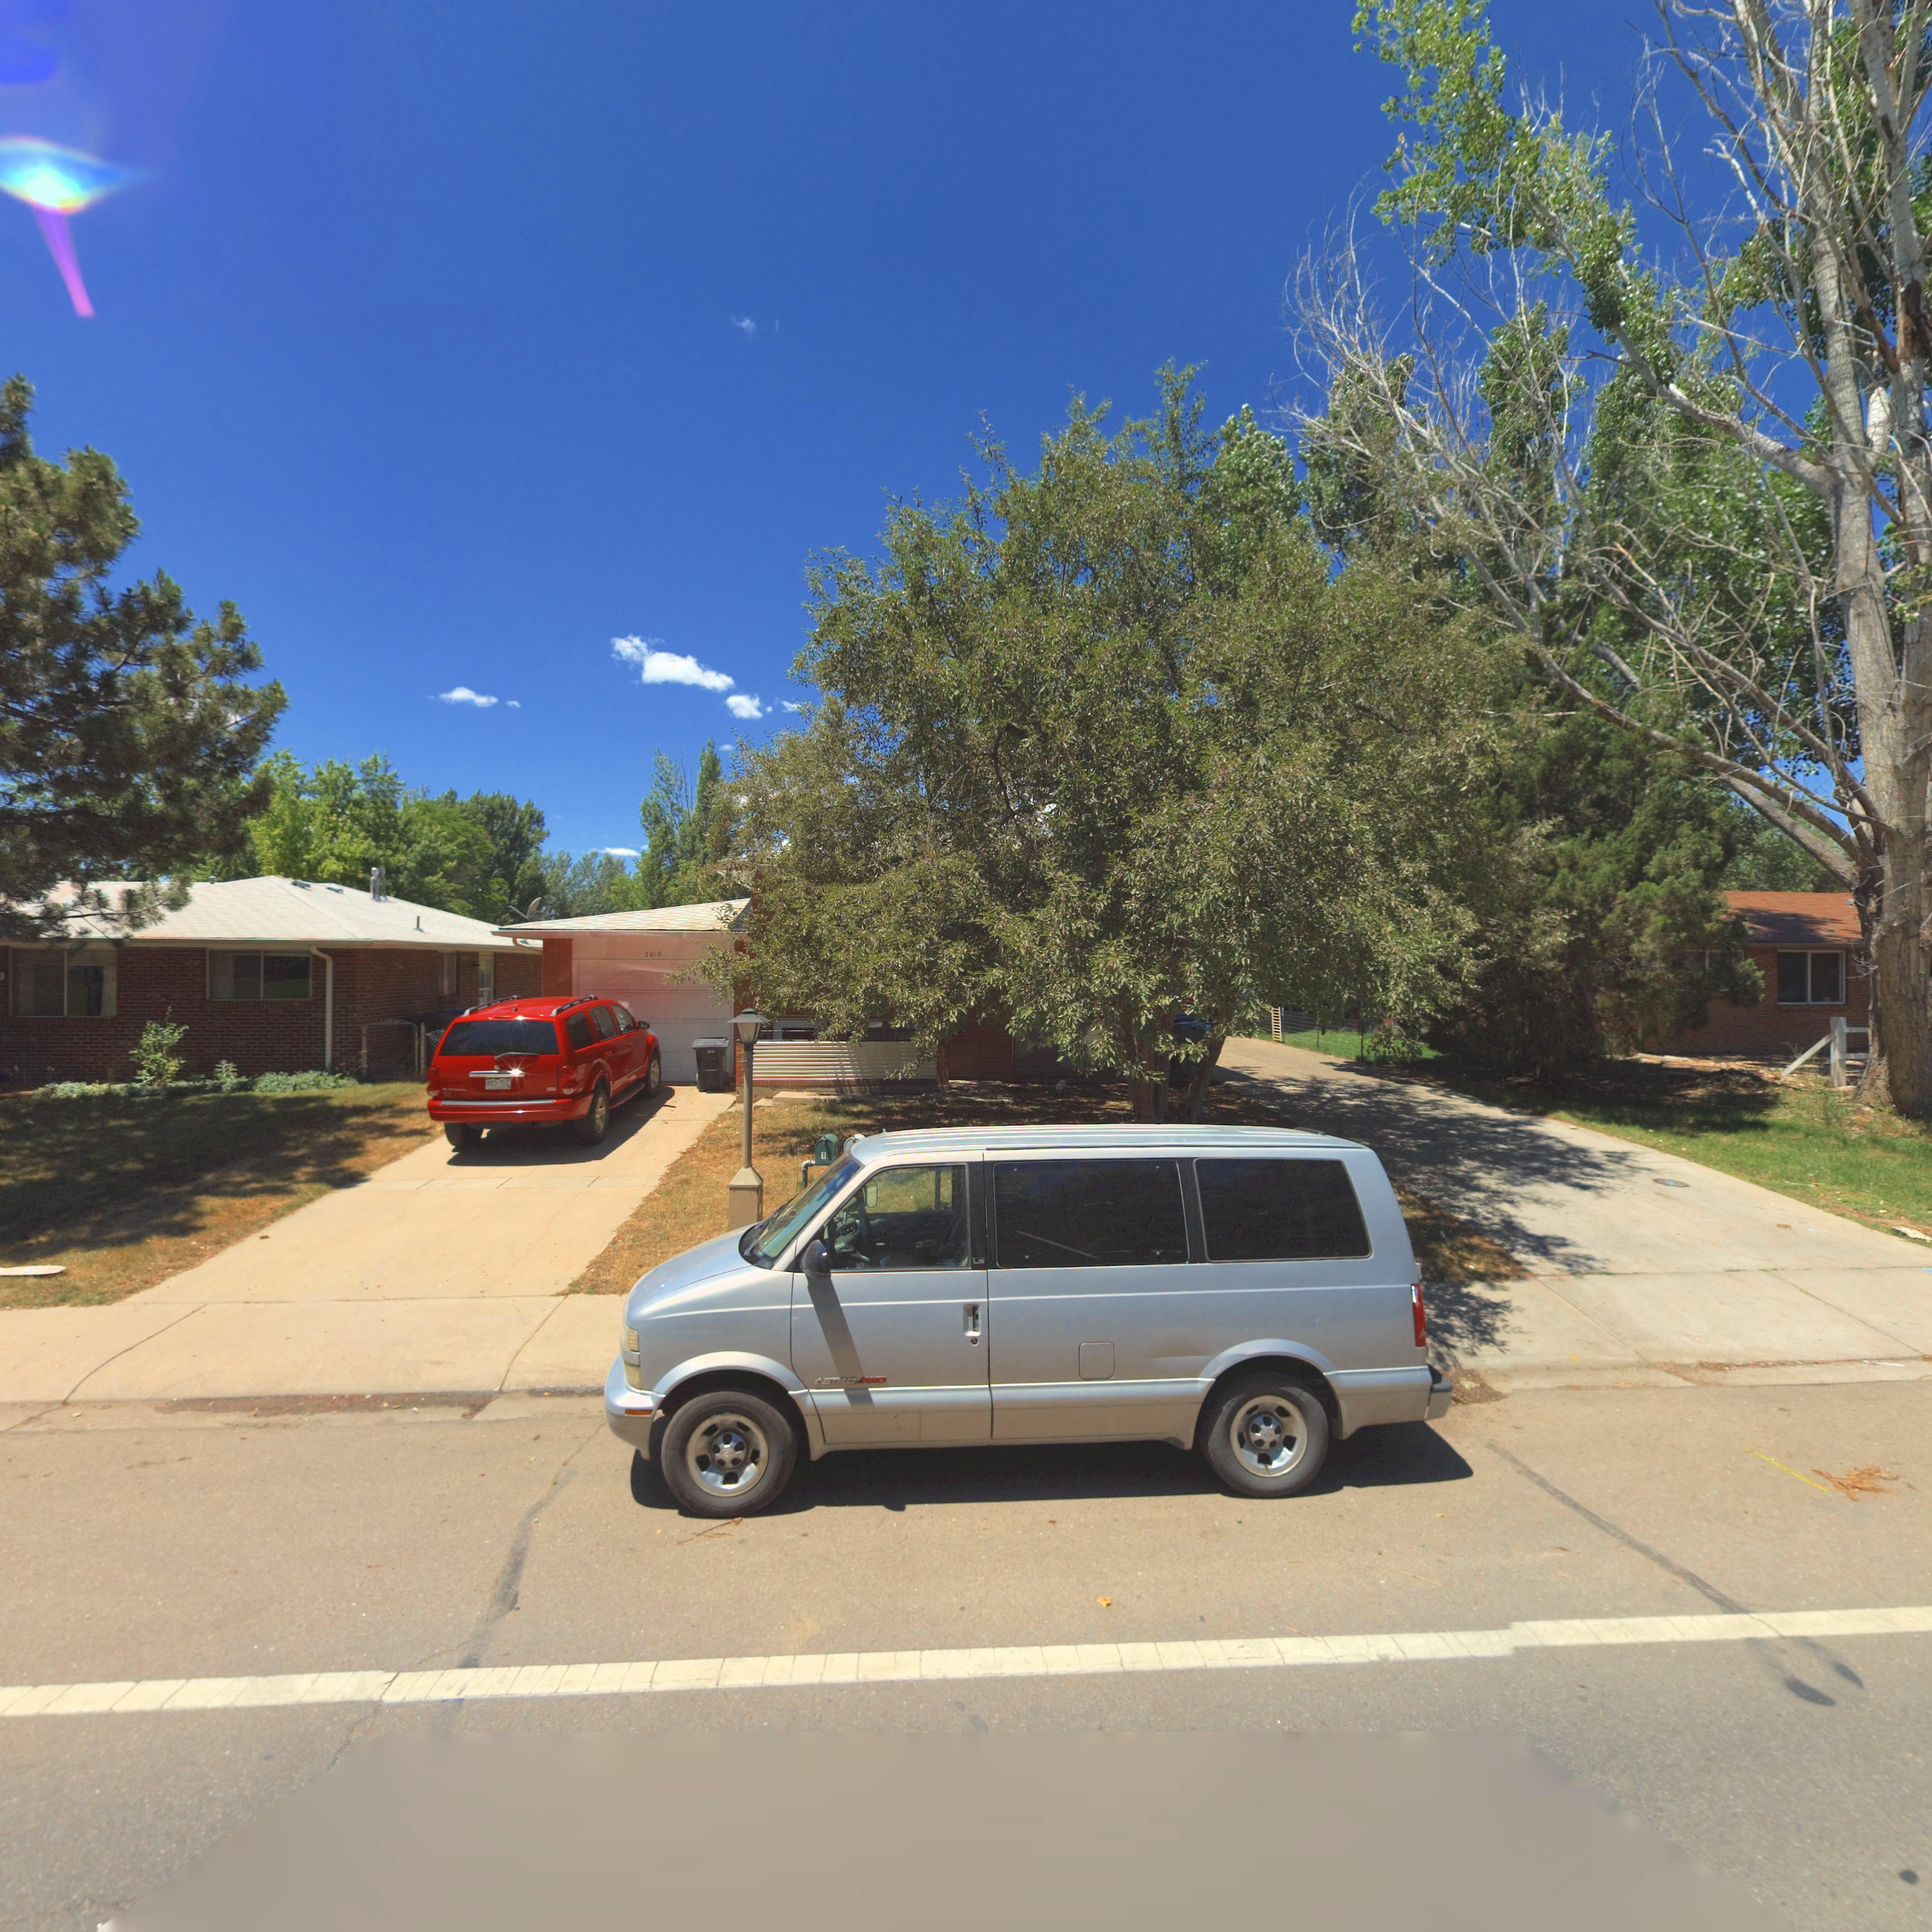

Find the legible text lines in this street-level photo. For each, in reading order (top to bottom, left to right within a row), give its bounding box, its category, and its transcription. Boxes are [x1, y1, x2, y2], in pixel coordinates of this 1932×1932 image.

[644, 950, 661, 957] StreetNumber: 2019